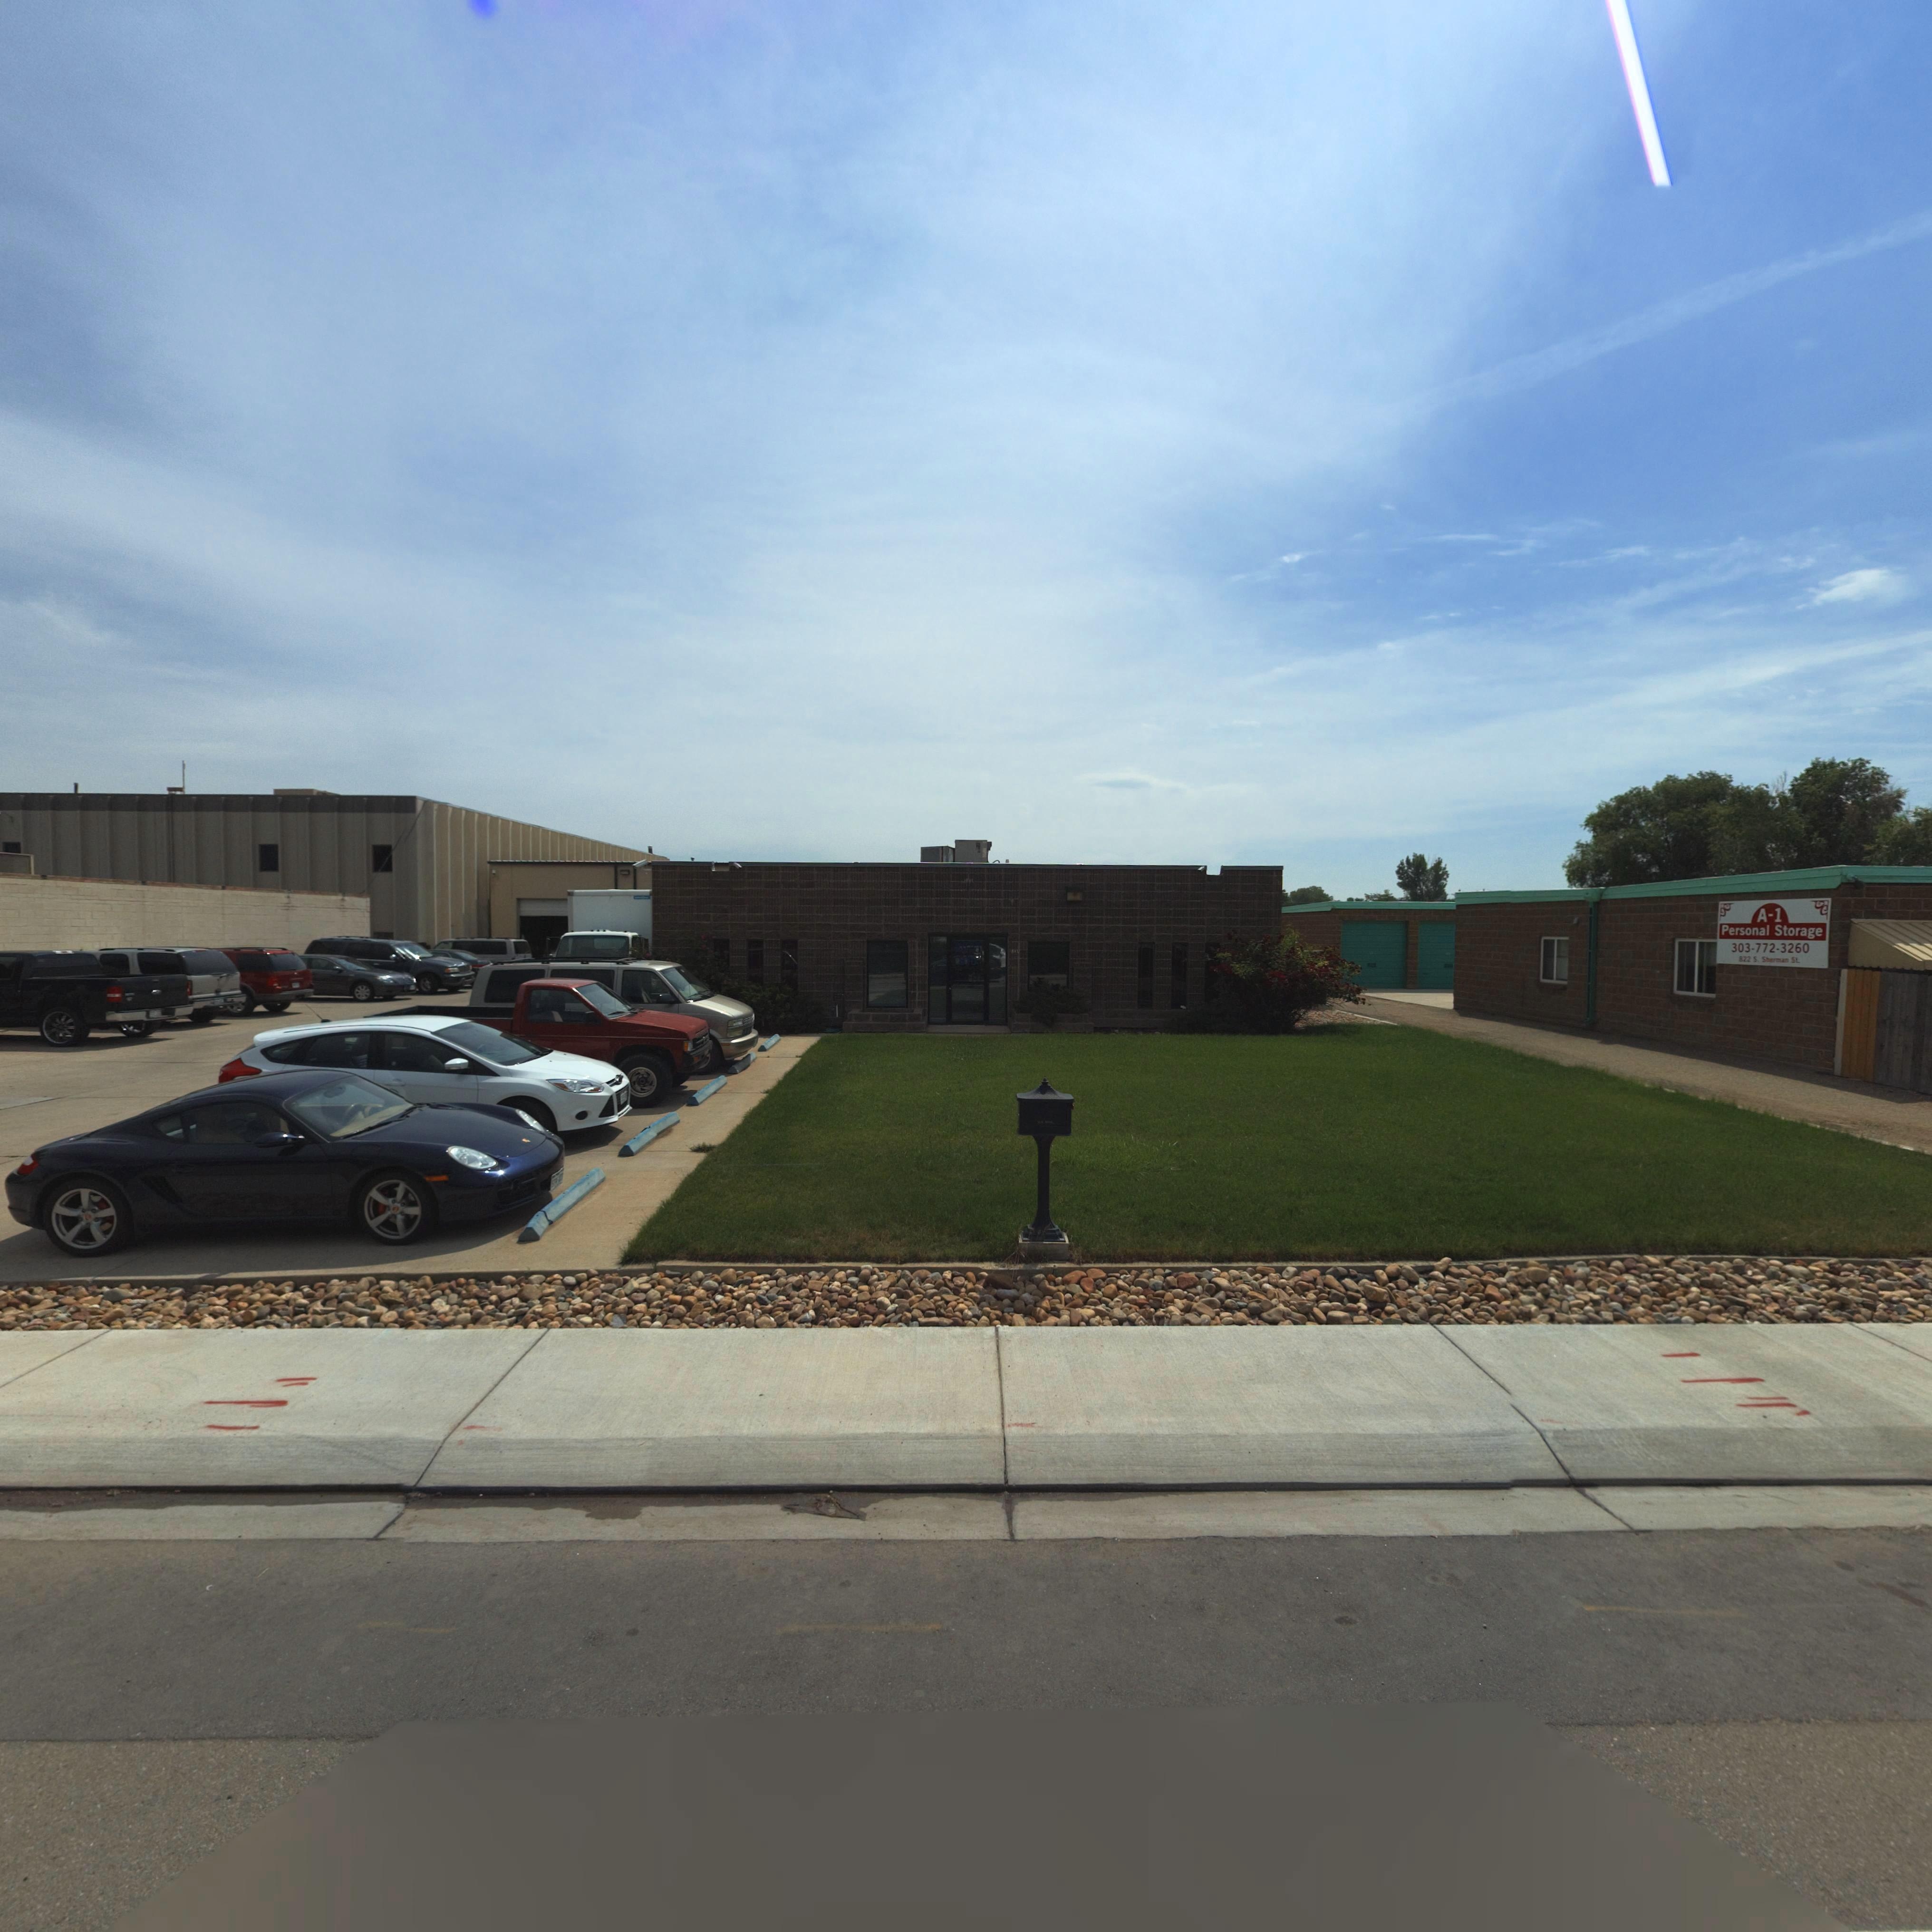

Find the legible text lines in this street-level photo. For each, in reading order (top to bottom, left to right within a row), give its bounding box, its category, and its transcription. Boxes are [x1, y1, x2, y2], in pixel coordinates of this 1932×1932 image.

[1755, 907, 1782, 923] BusinessName: A-1
[1720, 924, 1823, 939] BusinessName: Personal Storage
[1011, 948, 1020, 954] StreetNumber: 8*0
[958, 956, 976, 966] StreetNumber: 810
[1738, 955, 1751, 963] StreetNumber: 822
[1752, 955, 1800, 963] StreetName: S. Sherman St.